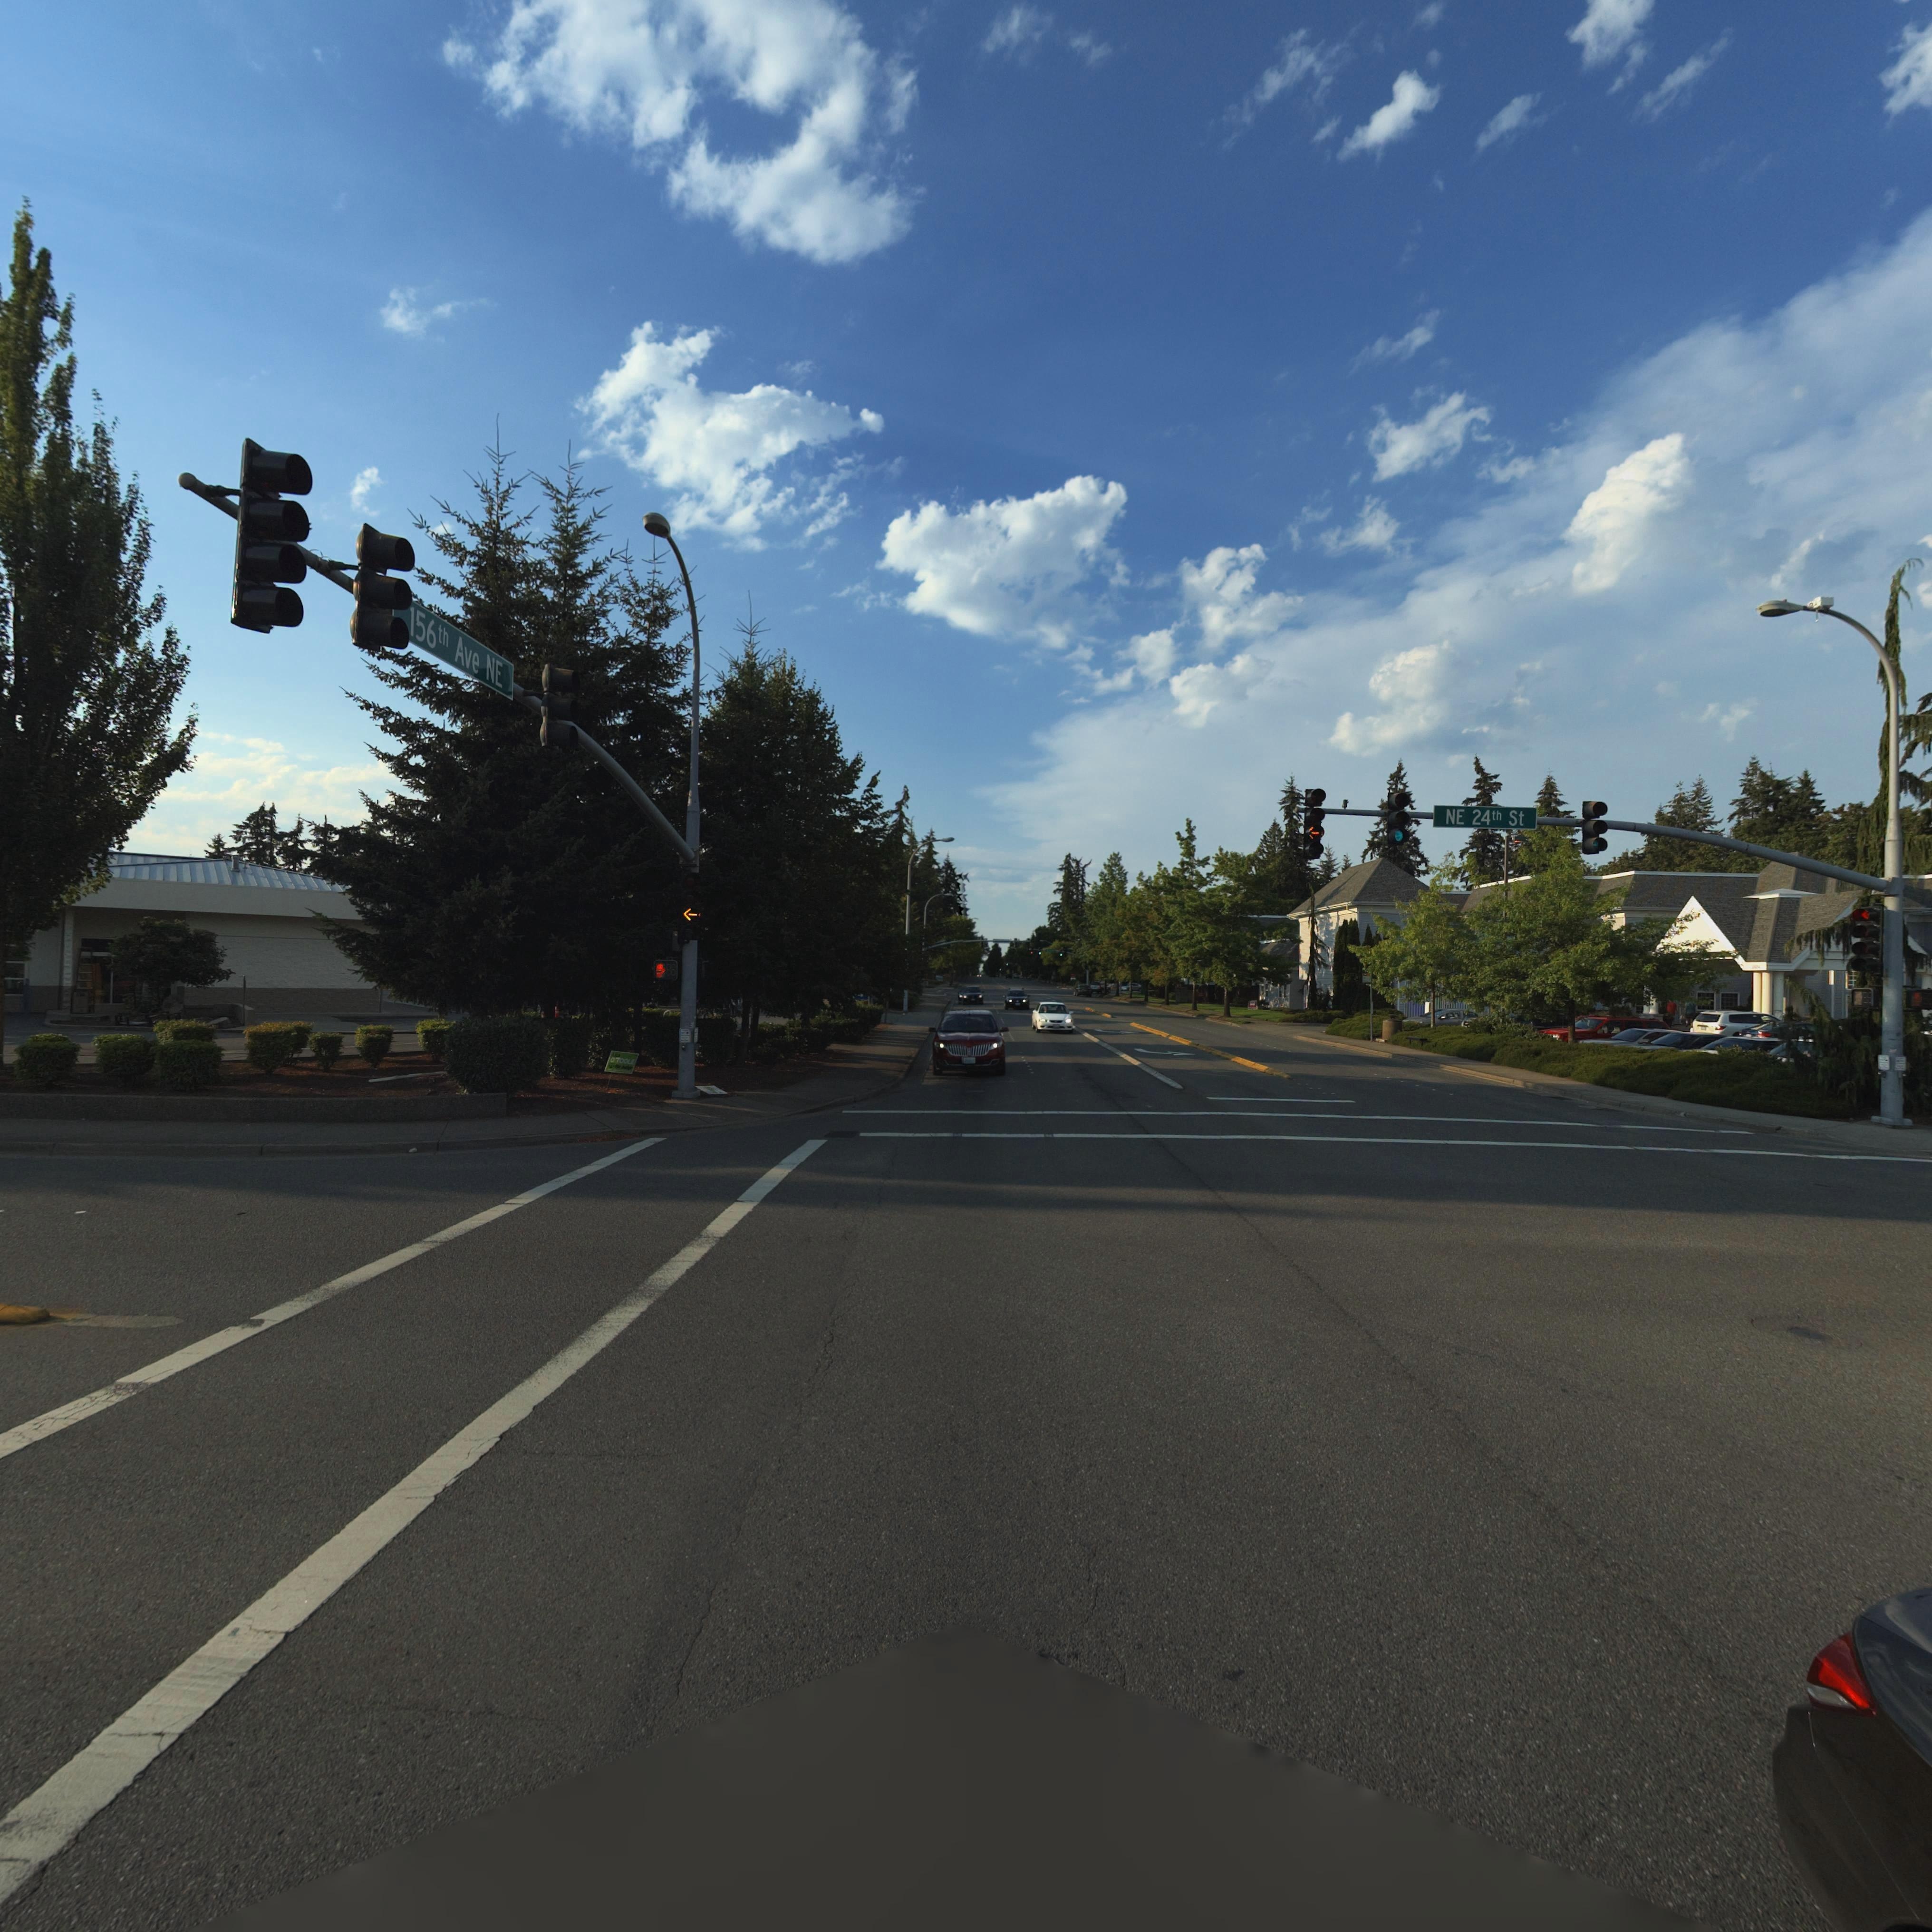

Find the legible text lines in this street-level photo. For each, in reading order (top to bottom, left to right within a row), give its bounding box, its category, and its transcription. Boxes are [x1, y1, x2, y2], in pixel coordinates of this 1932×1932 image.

[409, 603, 506, 692] StreetName: 156th Ave NE
[1446, 809, 1524, 826] StreetName: NE 24th St